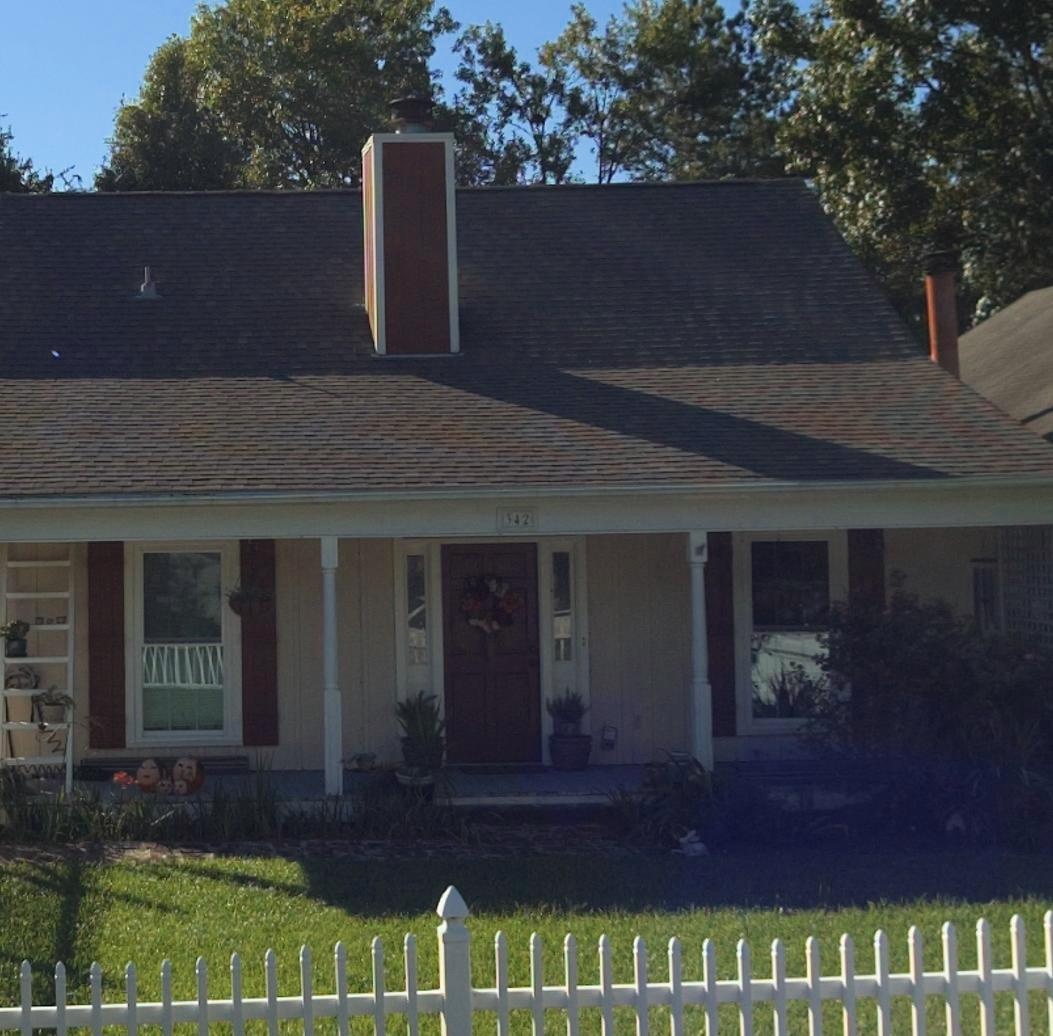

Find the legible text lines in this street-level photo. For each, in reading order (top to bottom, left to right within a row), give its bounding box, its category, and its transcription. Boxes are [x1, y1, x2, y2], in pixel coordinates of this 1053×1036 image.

[504, 512, 530, 526] StreetNumber: 342